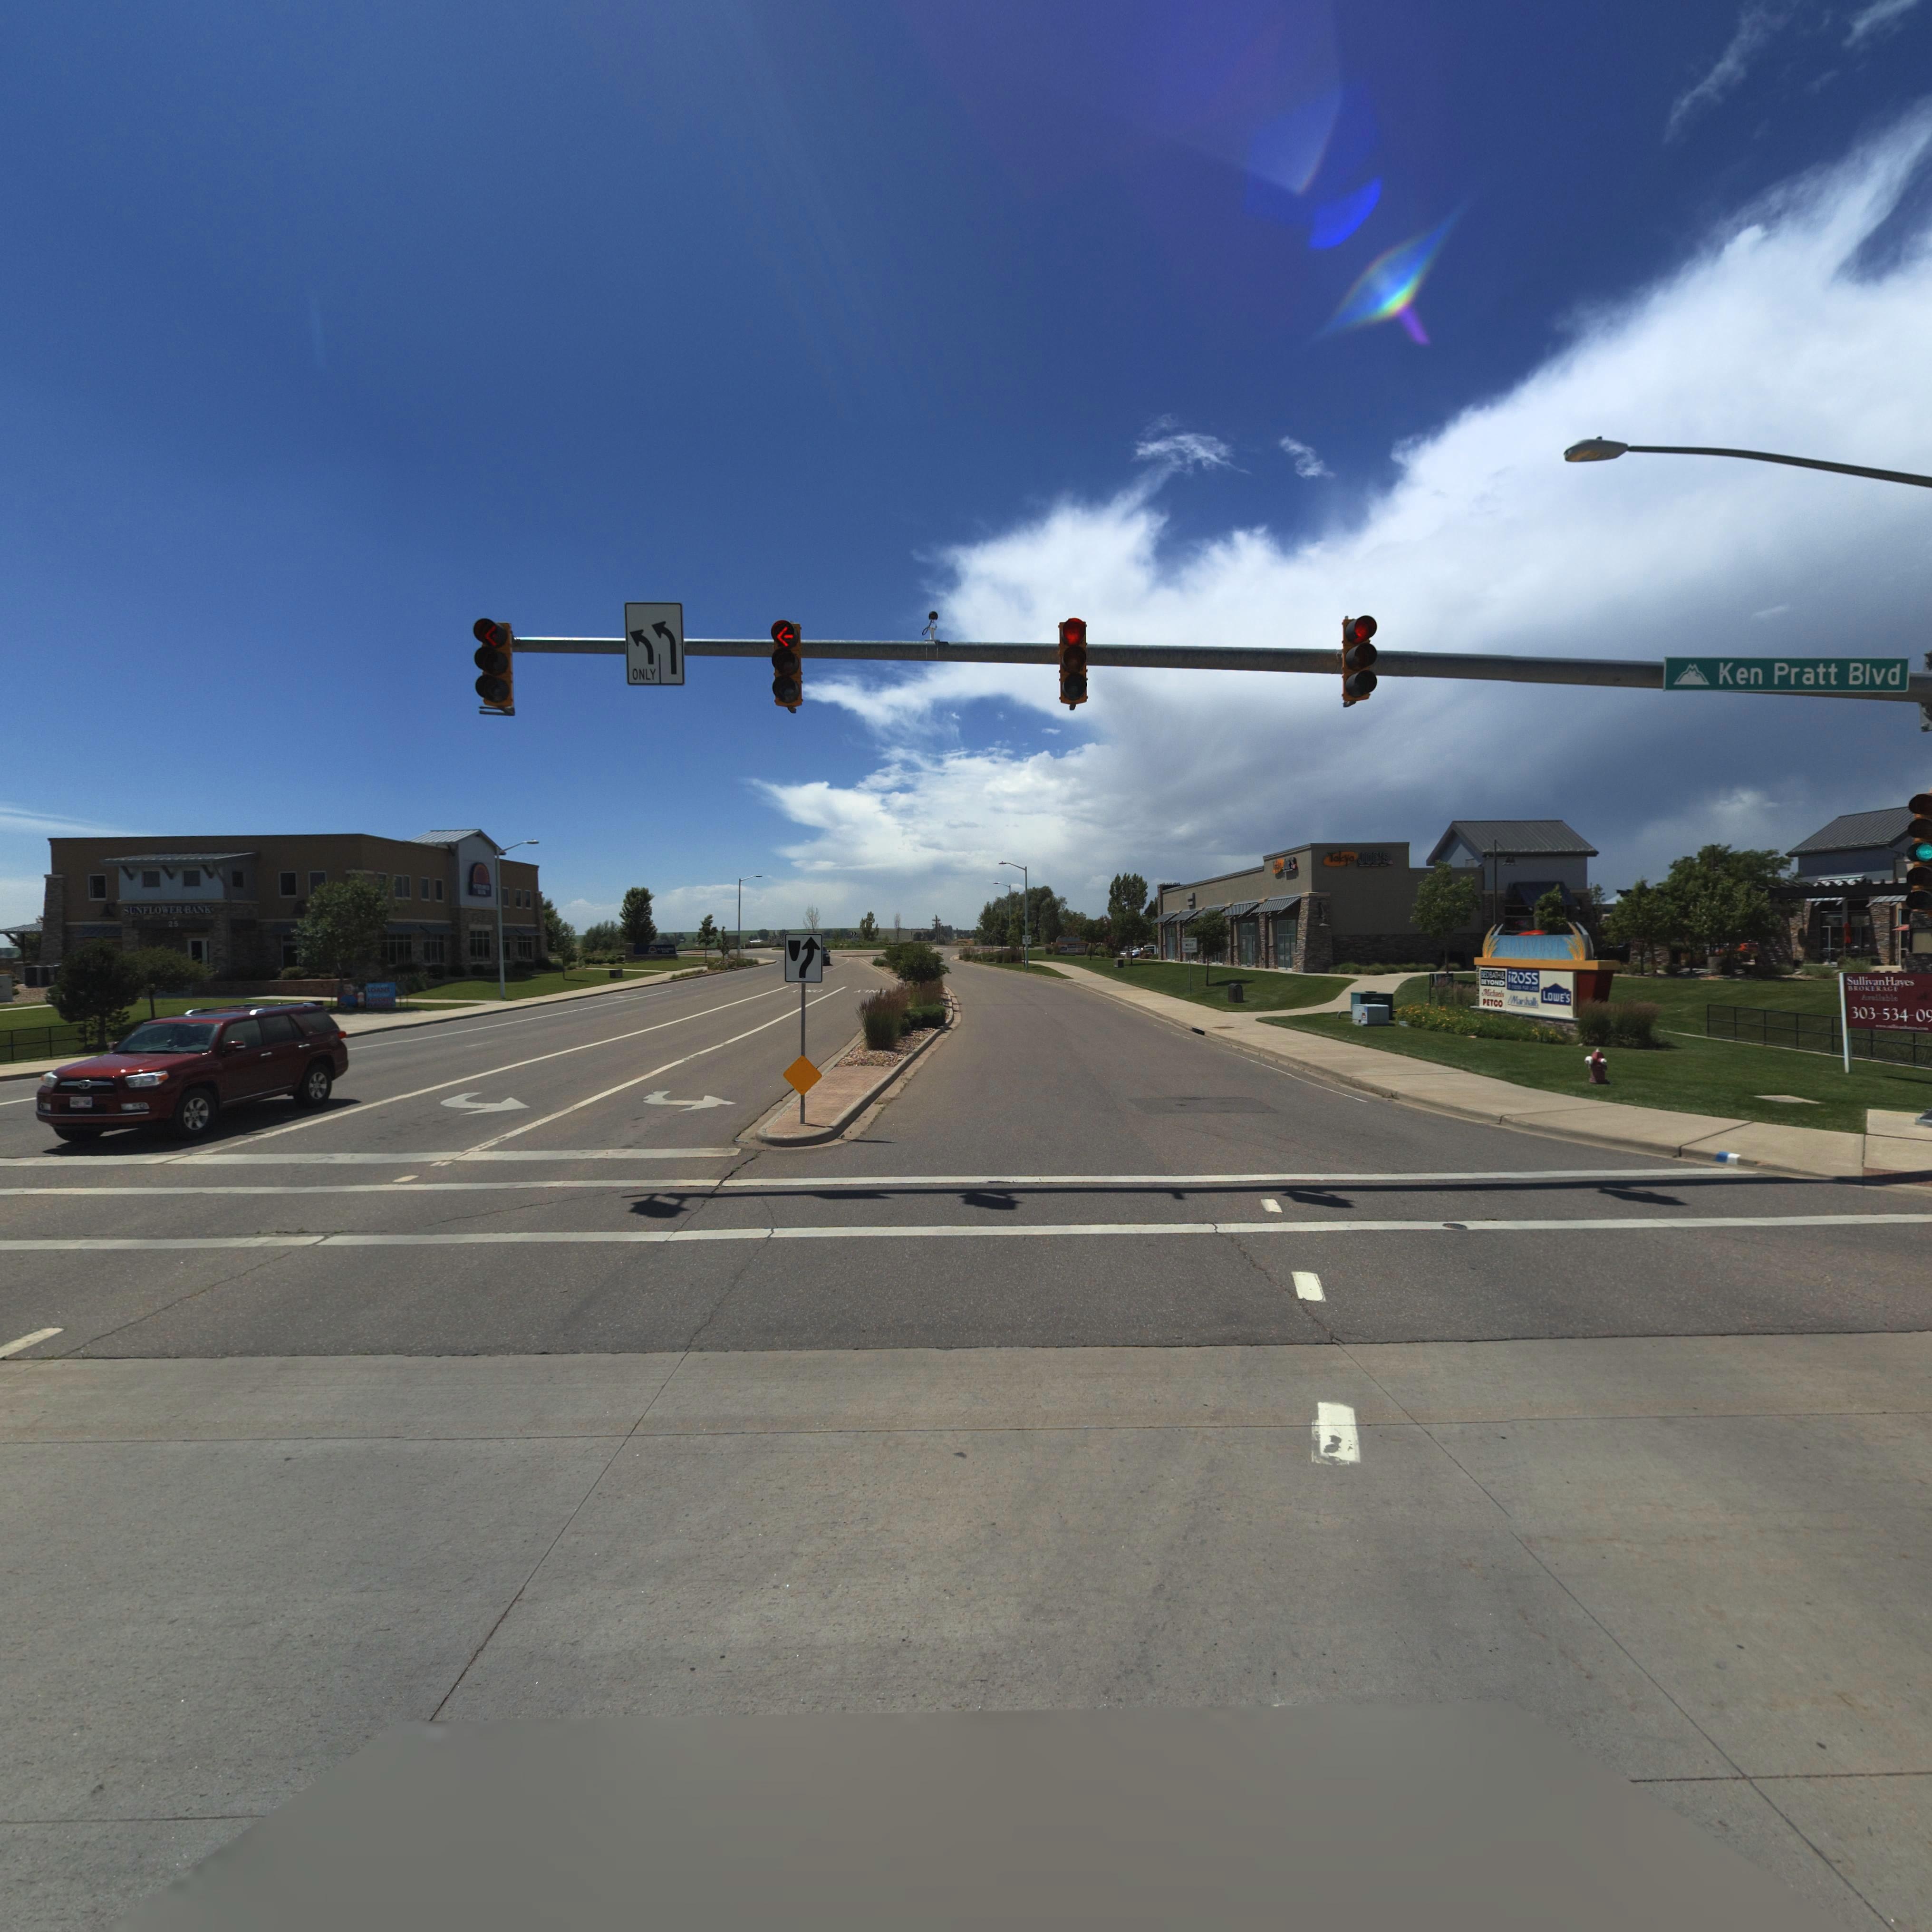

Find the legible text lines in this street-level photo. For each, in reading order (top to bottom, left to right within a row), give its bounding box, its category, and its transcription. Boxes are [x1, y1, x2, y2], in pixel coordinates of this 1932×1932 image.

[1718, 661, 1901, 686] StreetName: Ken Pratt Blvd
[1327, 850, 1391, 867] BusinessName: Tokyo JOE*S
[1272, 857, 1294, 874] BusinessName: Tokyo JOE*S
[122, 905, 212, 916] BusinessName: SUNFLOWER BANK
[168, 920, 178, 927] StreetNumber: 25
[1480, 970, 1505, 979] BusinessName: BEDBATH&
[1480, 978, 1505, 986] BusinessName: BEYOND
[1510, 971, 1539, 985] BusinessName: ROSS
[1481, 988, 1505, 997] BusinessName: Mich*els
[1482, 998, 1503, 1007] BusinessName: PETCO
[1510, 995, 1539, 1006] BusinessName: Marshalls
[1542, 989, 1571, 1005] BusinessName: LOWE*S